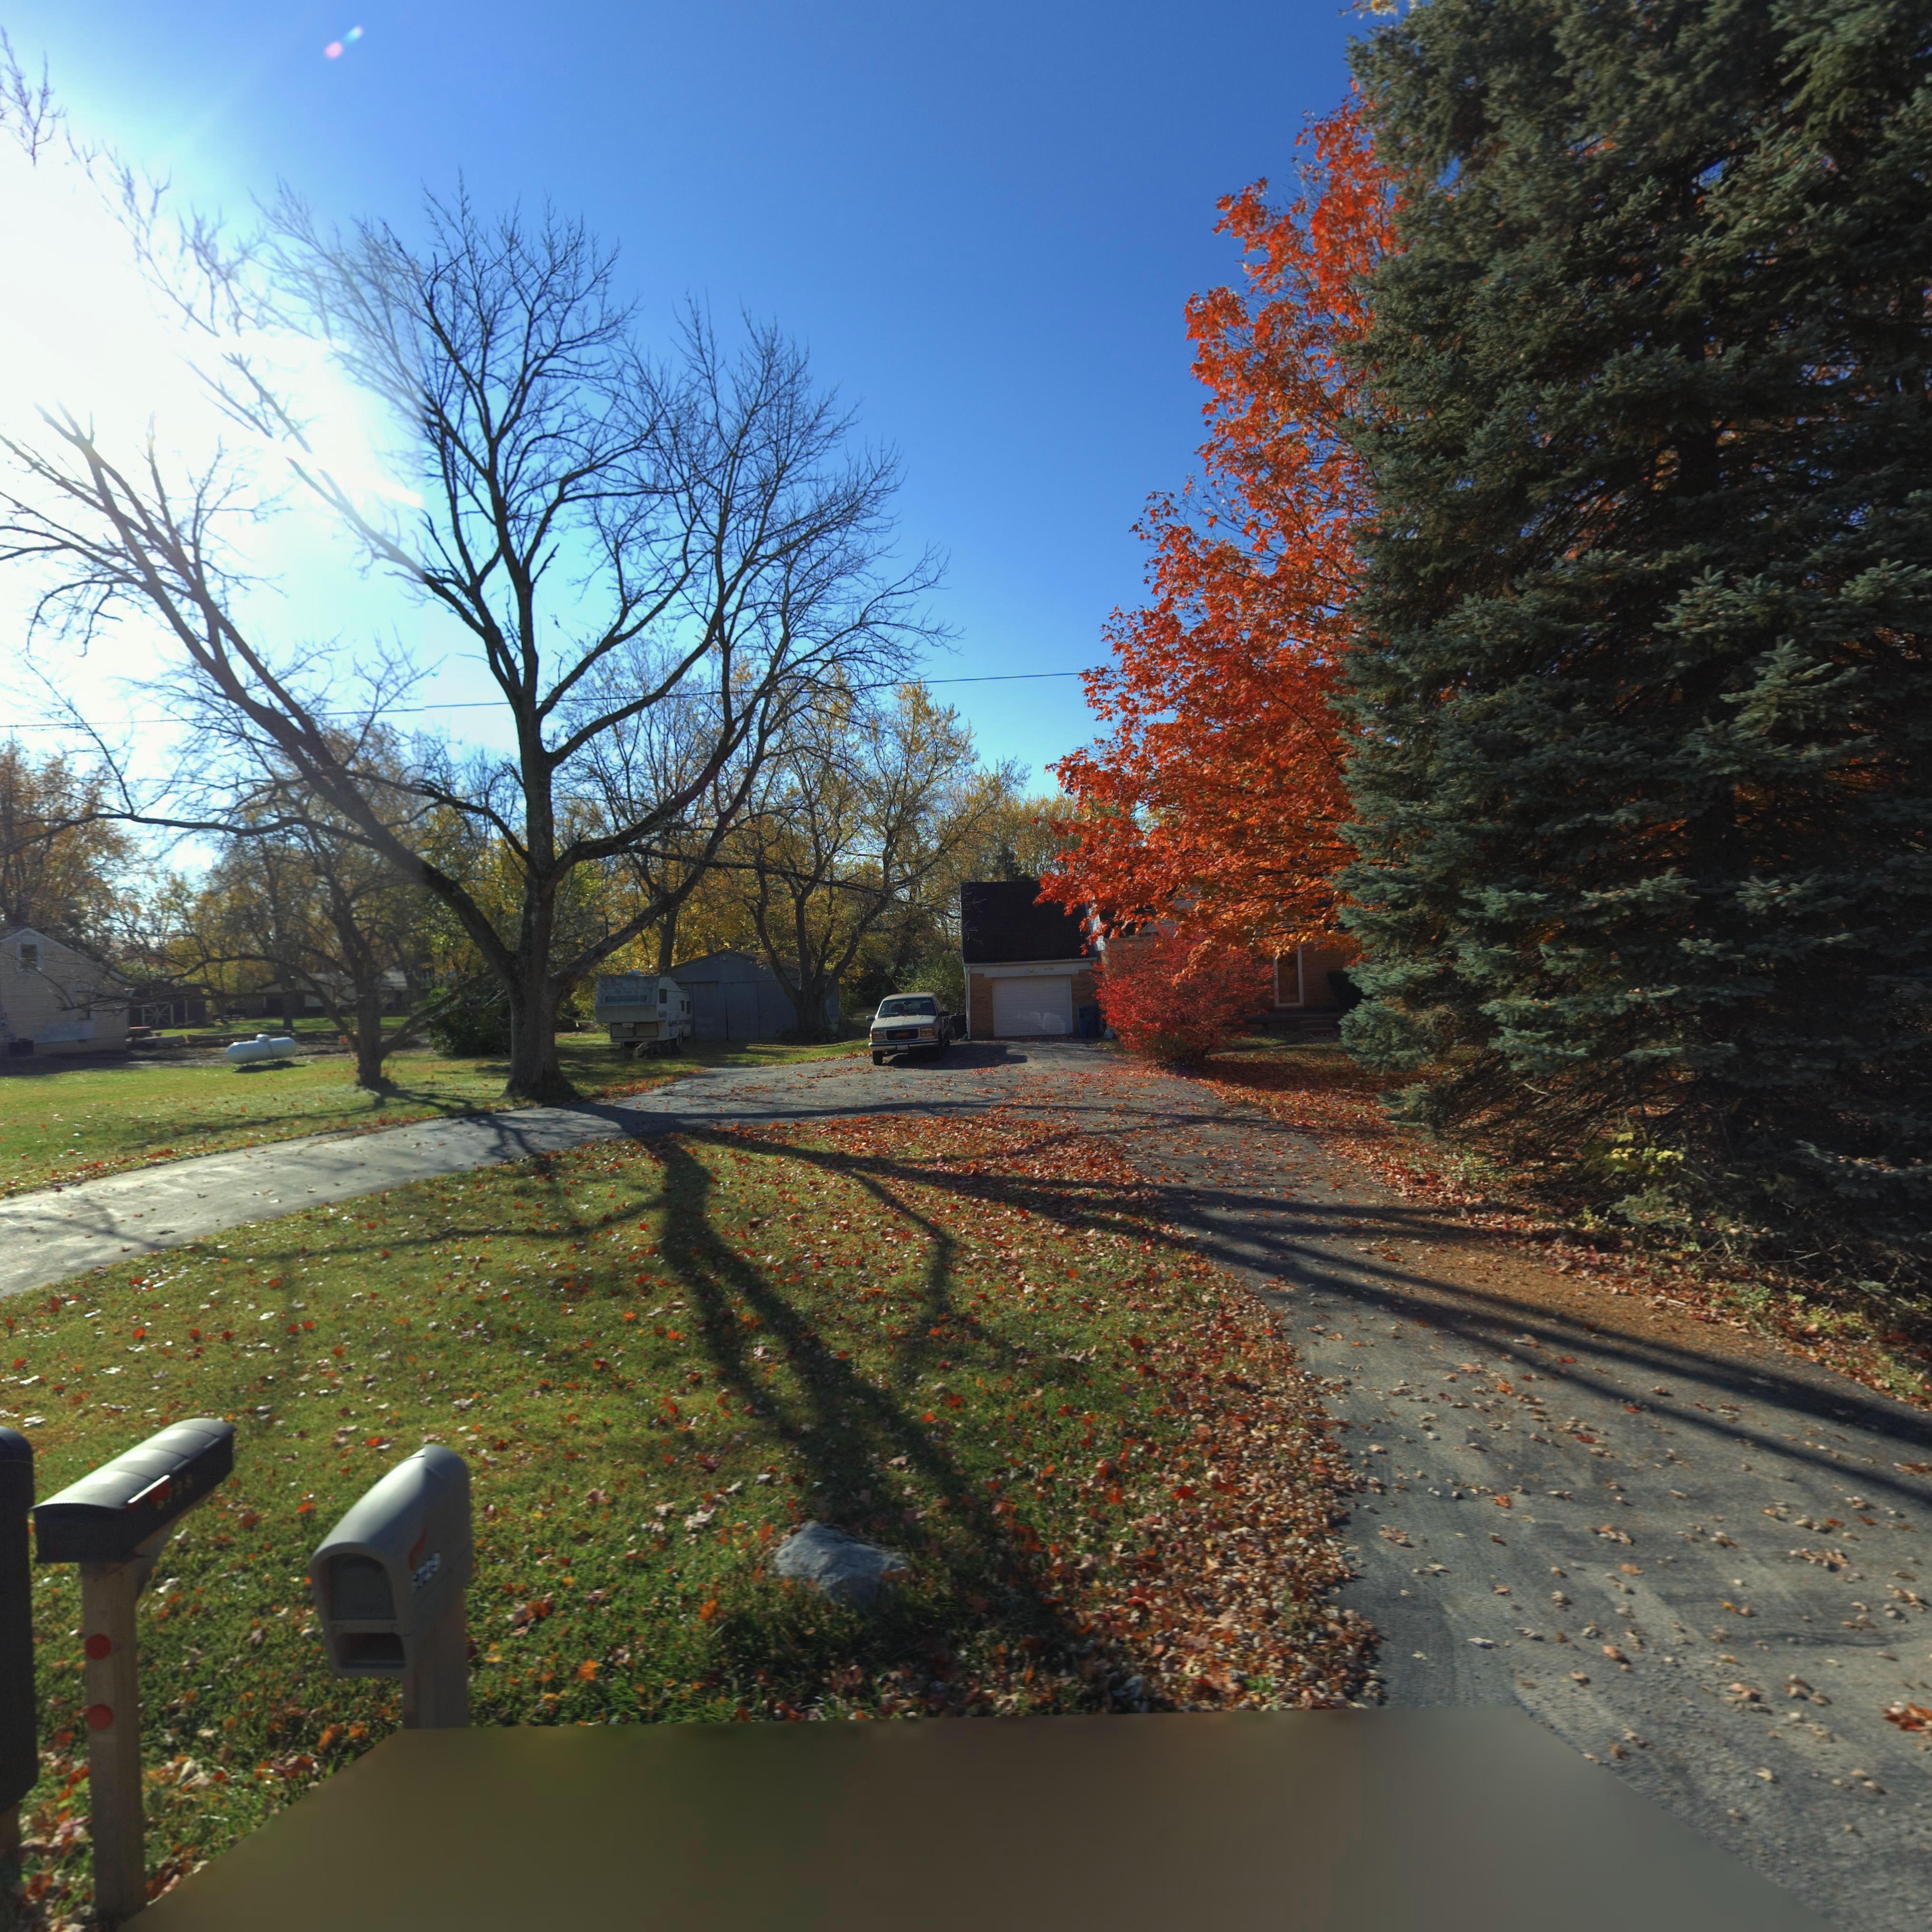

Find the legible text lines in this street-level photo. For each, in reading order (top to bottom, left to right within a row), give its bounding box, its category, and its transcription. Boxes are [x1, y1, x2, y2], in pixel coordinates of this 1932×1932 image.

[155, 1470, 194, 1514] StreetNumber: **28
[409, 1548, 444, 1599] StreetNumber: *29